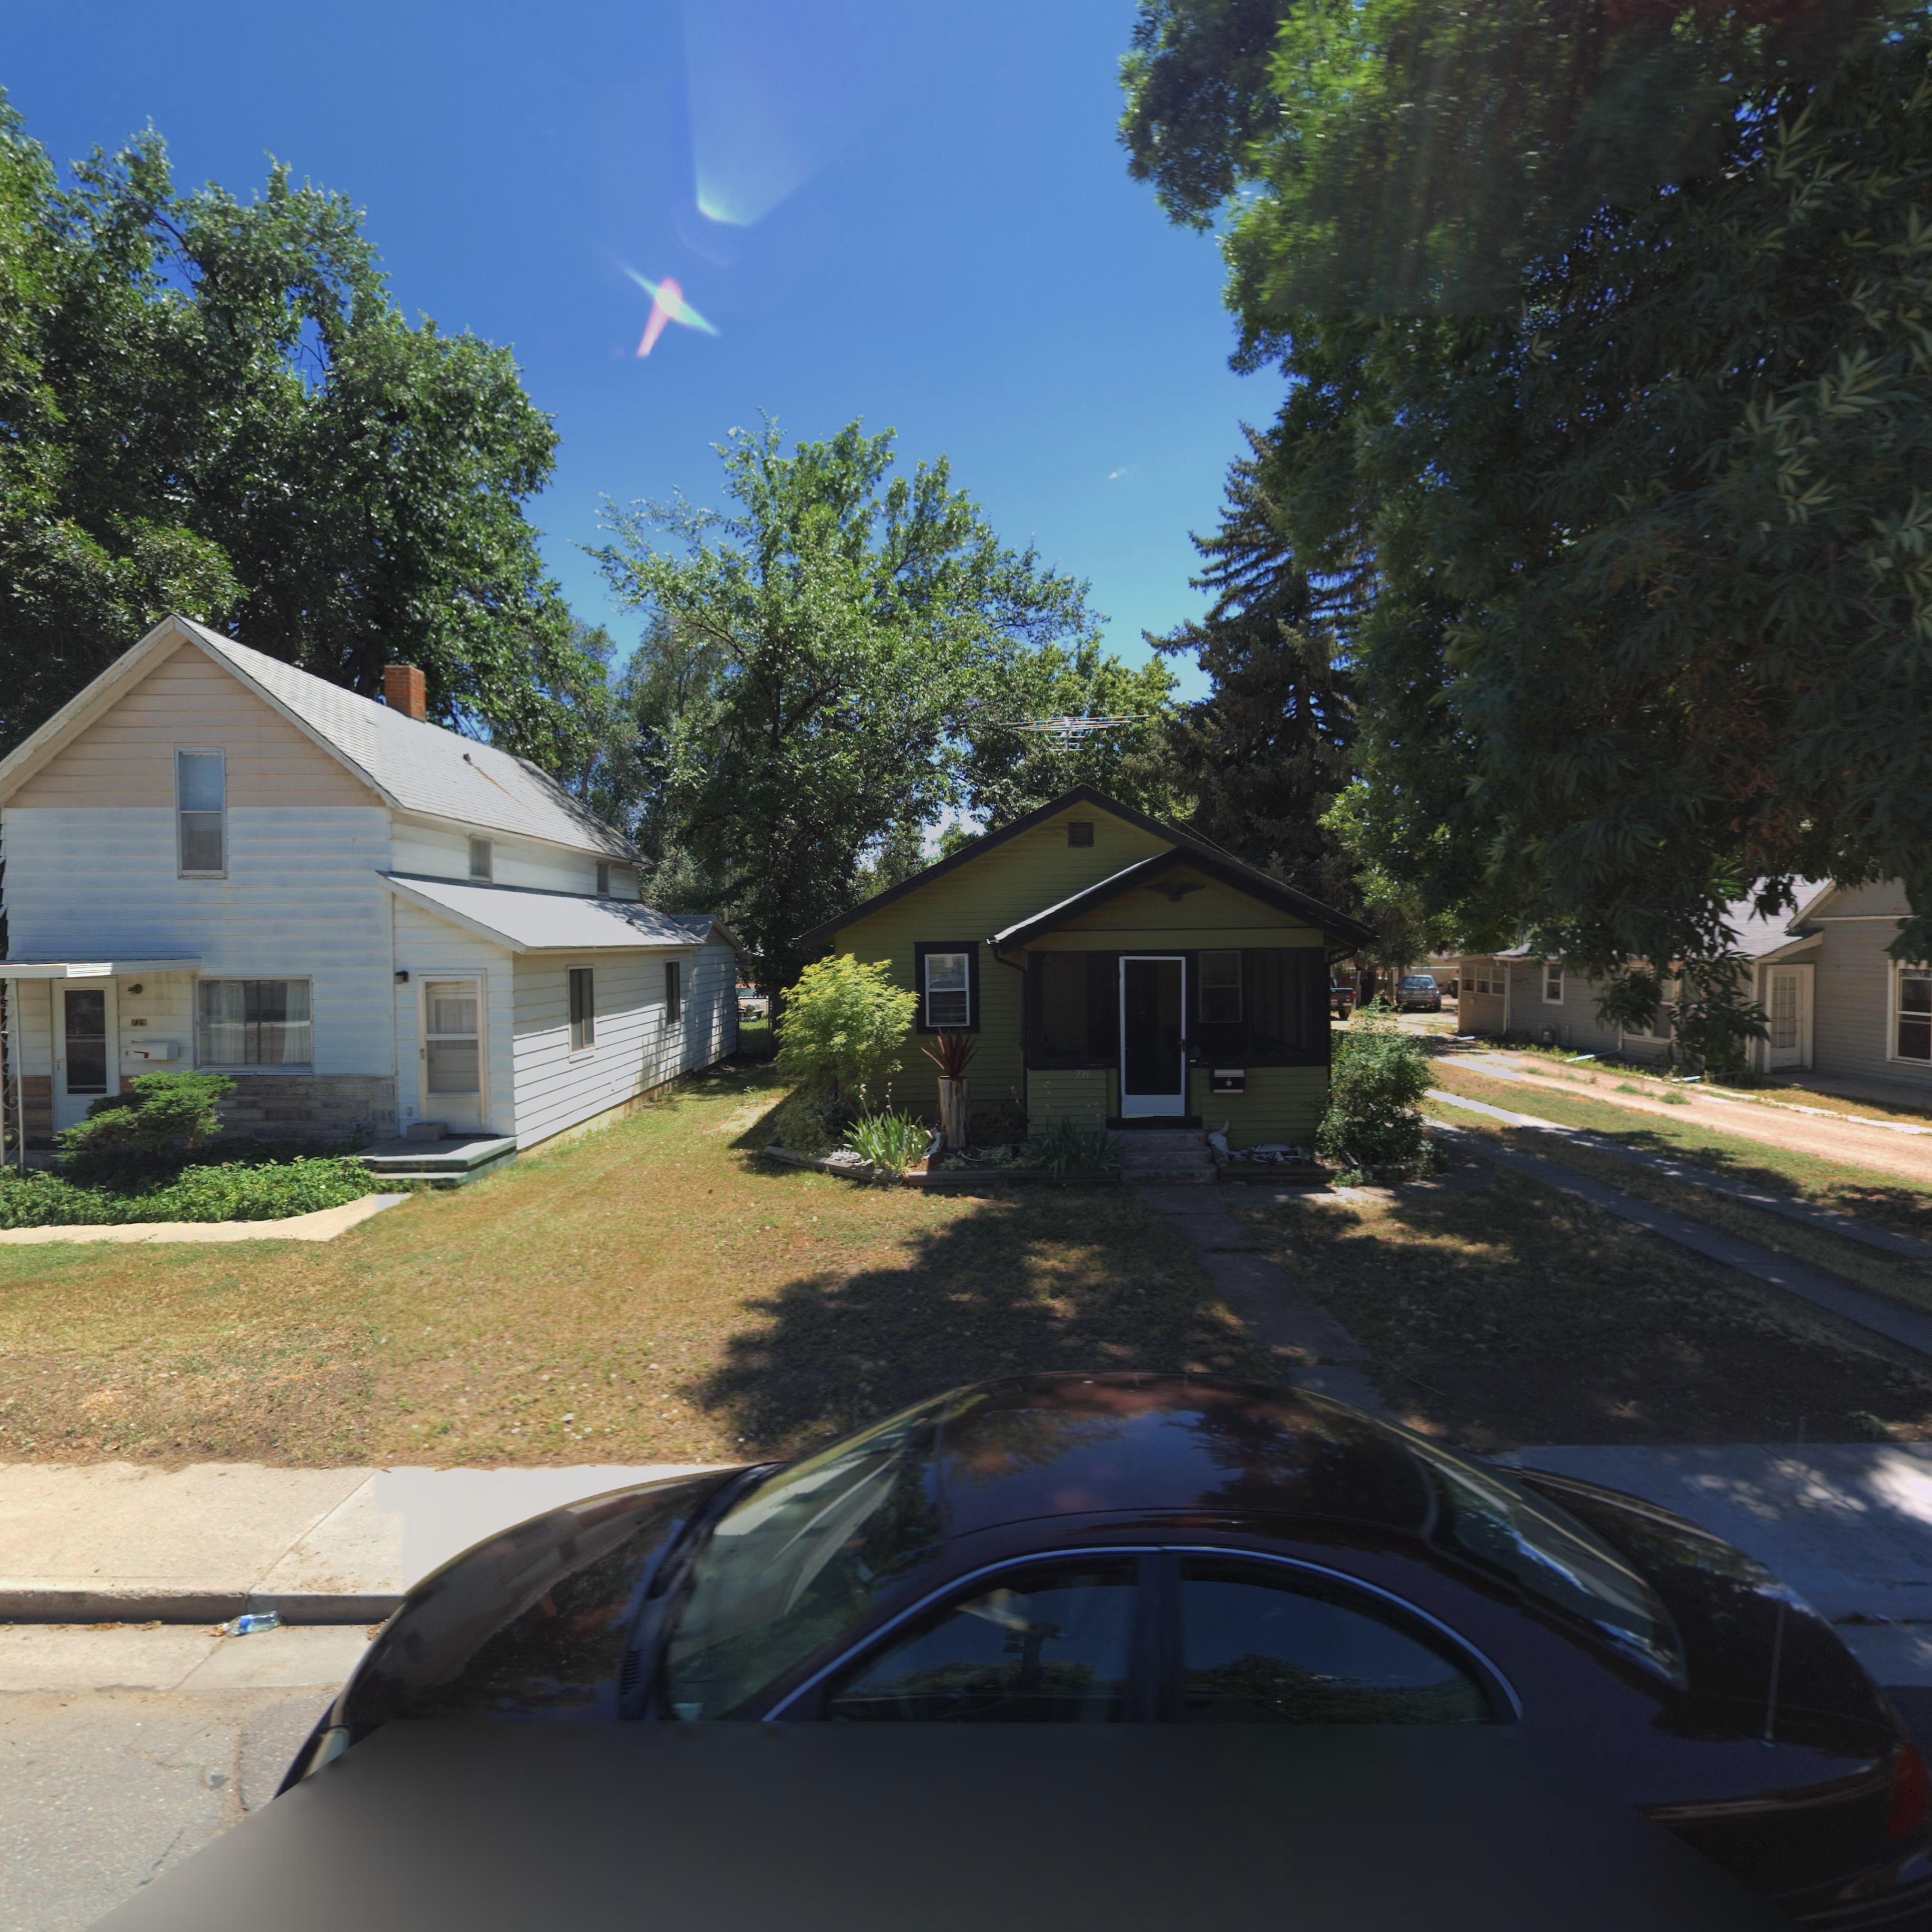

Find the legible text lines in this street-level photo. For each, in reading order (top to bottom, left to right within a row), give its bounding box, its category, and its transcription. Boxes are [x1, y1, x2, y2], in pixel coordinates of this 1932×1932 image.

[131, 1018, 146, 1026] StreetNumber: 729
[1075, 1070, 1091, 1079] StreetNumber: 731